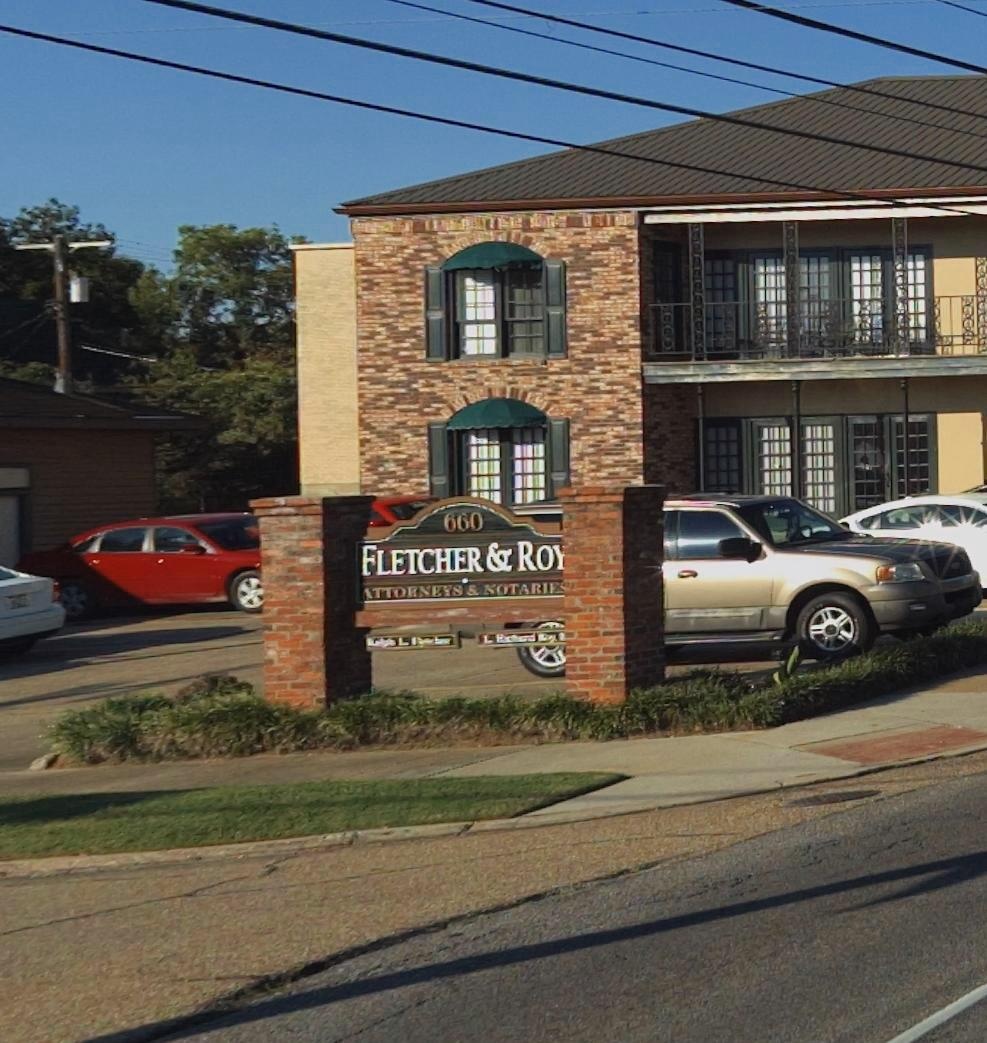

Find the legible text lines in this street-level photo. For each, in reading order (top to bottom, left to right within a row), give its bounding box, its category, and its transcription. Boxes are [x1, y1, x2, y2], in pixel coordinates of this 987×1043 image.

[442, 510, 488, 535] StreetNumber: 660
[358, 537, 559, 578] BusinessName: FLETCHER & RO
[359, 581, 552, 602] None: ATTORNEYS & NOTARI